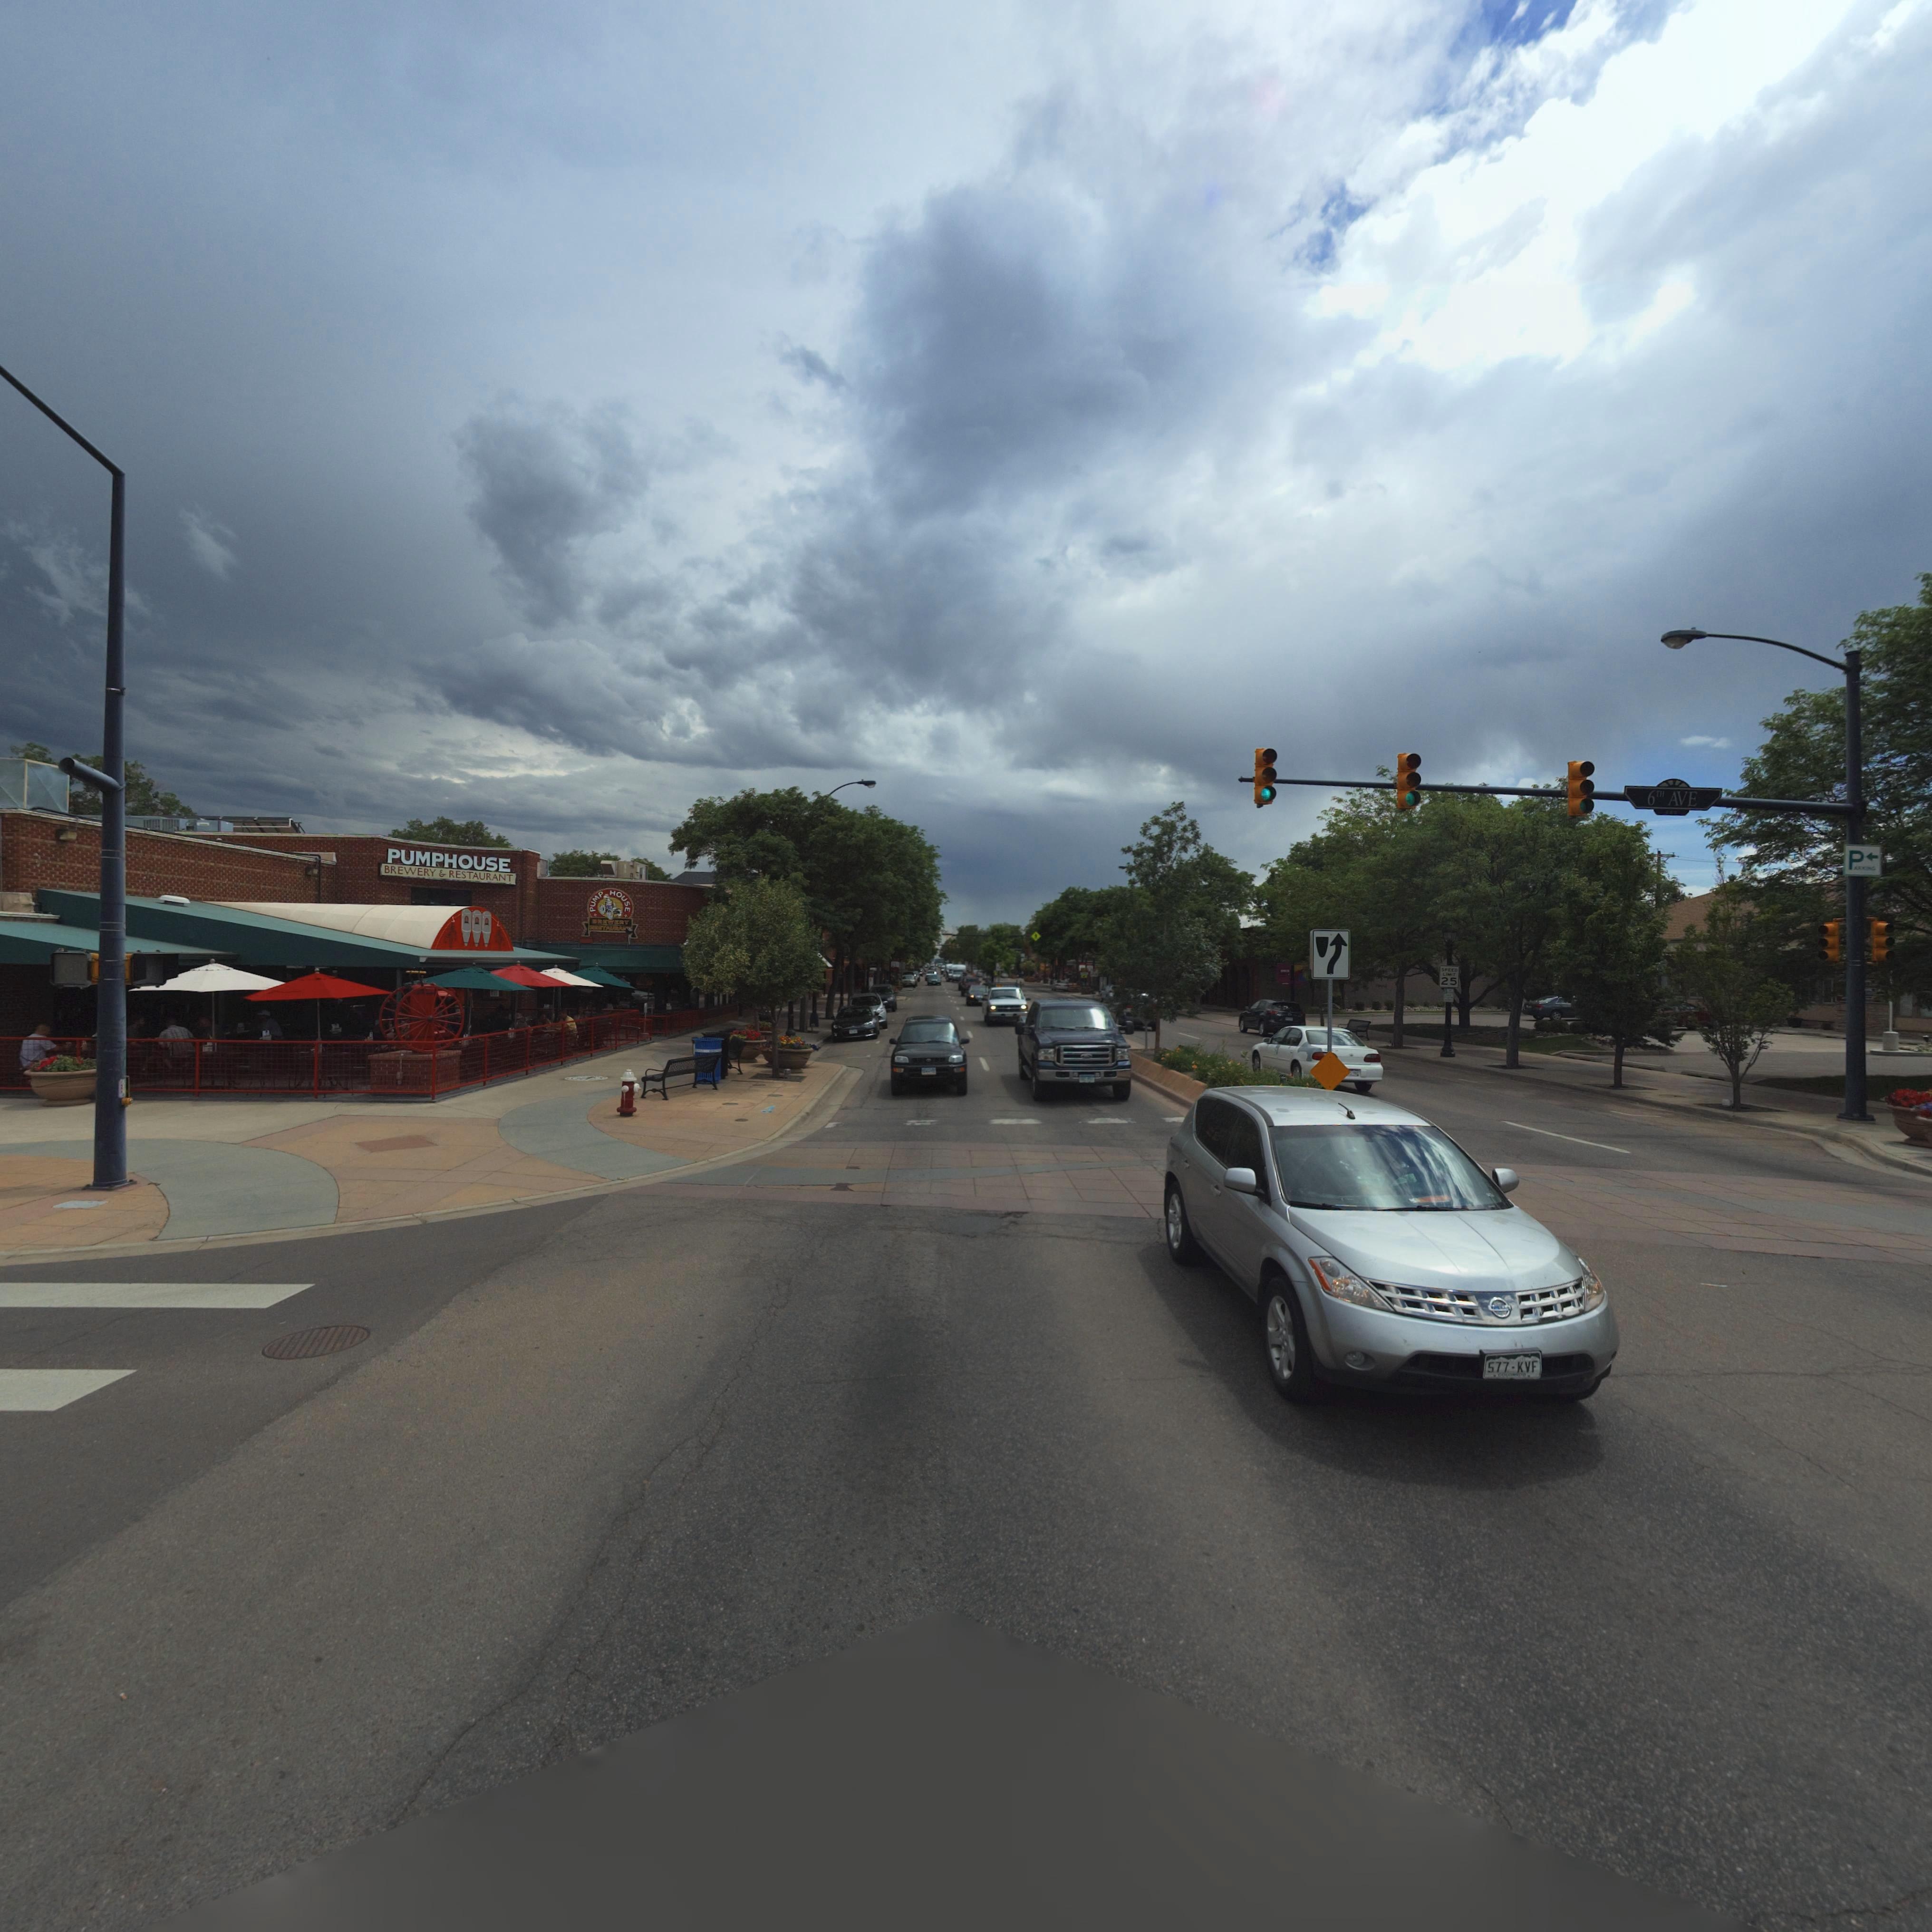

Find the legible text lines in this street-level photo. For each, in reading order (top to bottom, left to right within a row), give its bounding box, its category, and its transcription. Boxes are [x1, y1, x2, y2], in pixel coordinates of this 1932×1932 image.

[1646, 789, 1699, 808] BusinessName: 6TH AVE
[386, 847, 511, 873] BusinessName: PUMPHOUSE
[384, 864, 513, 881] BusinessName: BREWERY & RESTAURANT
[589, 889, 631, 913] BusinessName: PUMP HOUSE
[589, 925, 623, 931] BusinessName: RESTUARA
[591, 918, 629, 925] BusinessName: BREWERY